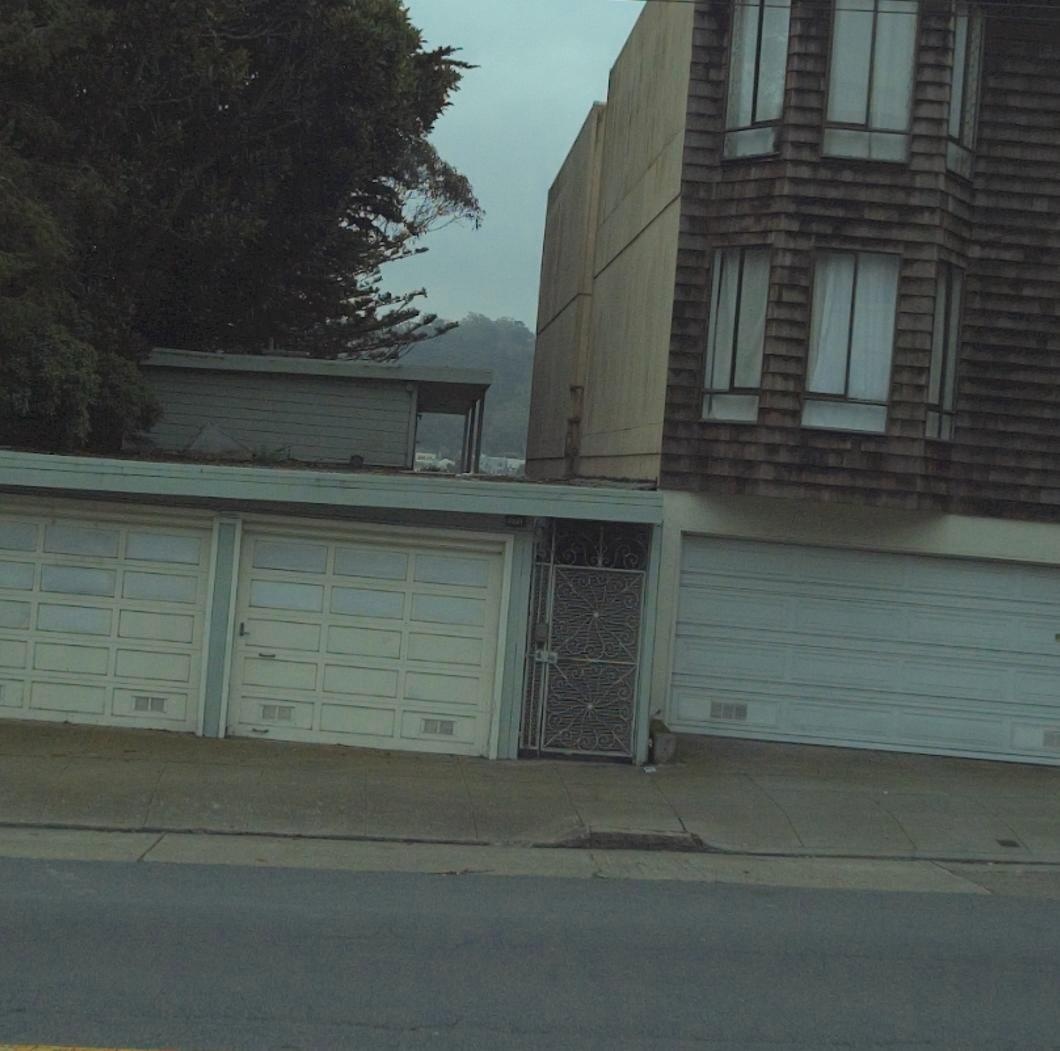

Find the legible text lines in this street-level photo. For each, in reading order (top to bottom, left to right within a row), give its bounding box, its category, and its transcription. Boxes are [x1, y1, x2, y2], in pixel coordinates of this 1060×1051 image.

[505, 516, 524, 526] StreetNumber: 2241